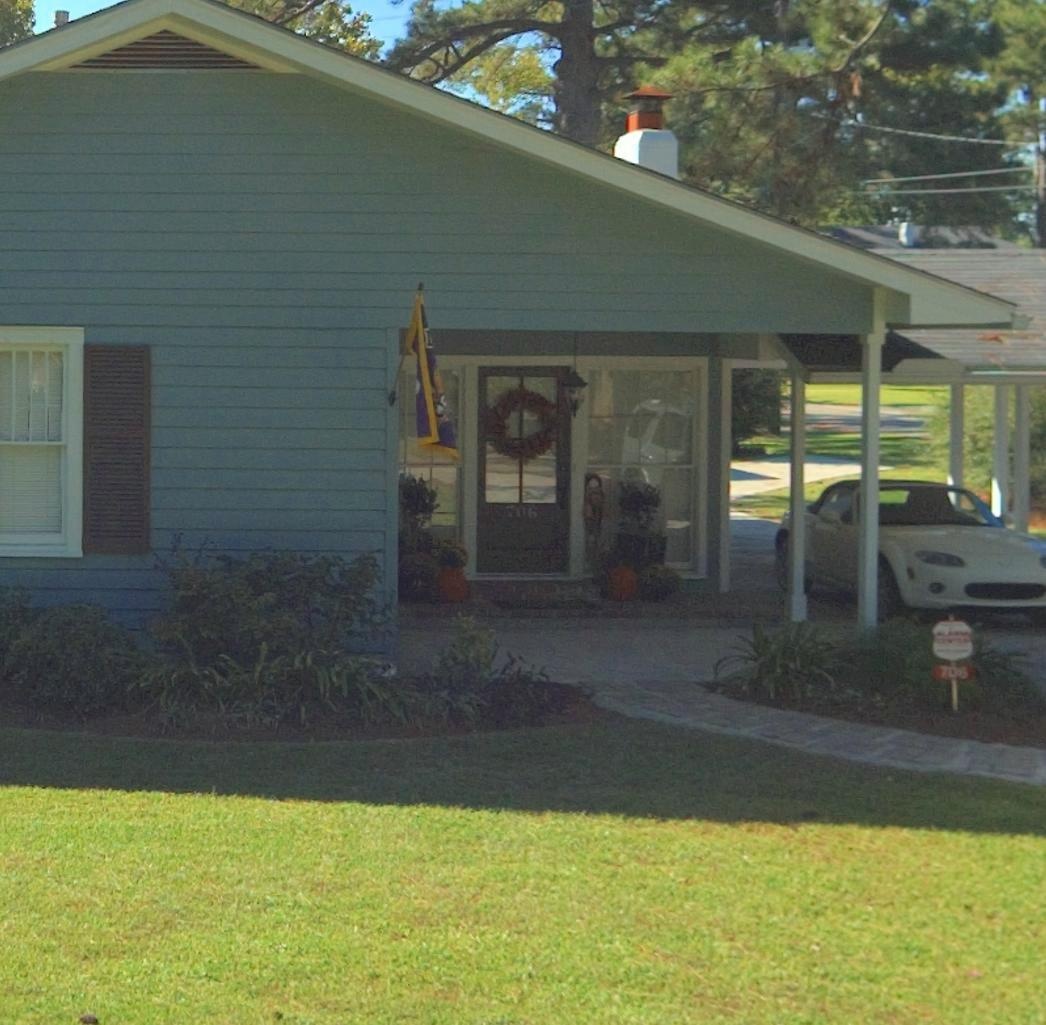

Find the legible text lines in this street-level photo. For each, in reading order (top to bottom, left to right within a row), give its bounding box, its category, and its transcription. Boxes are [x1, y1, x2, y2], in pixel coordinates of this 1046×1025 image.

[504, 503, 539, 520] StreetNumber: 706
[937, 664, 970, 680] StreetNumber: 706